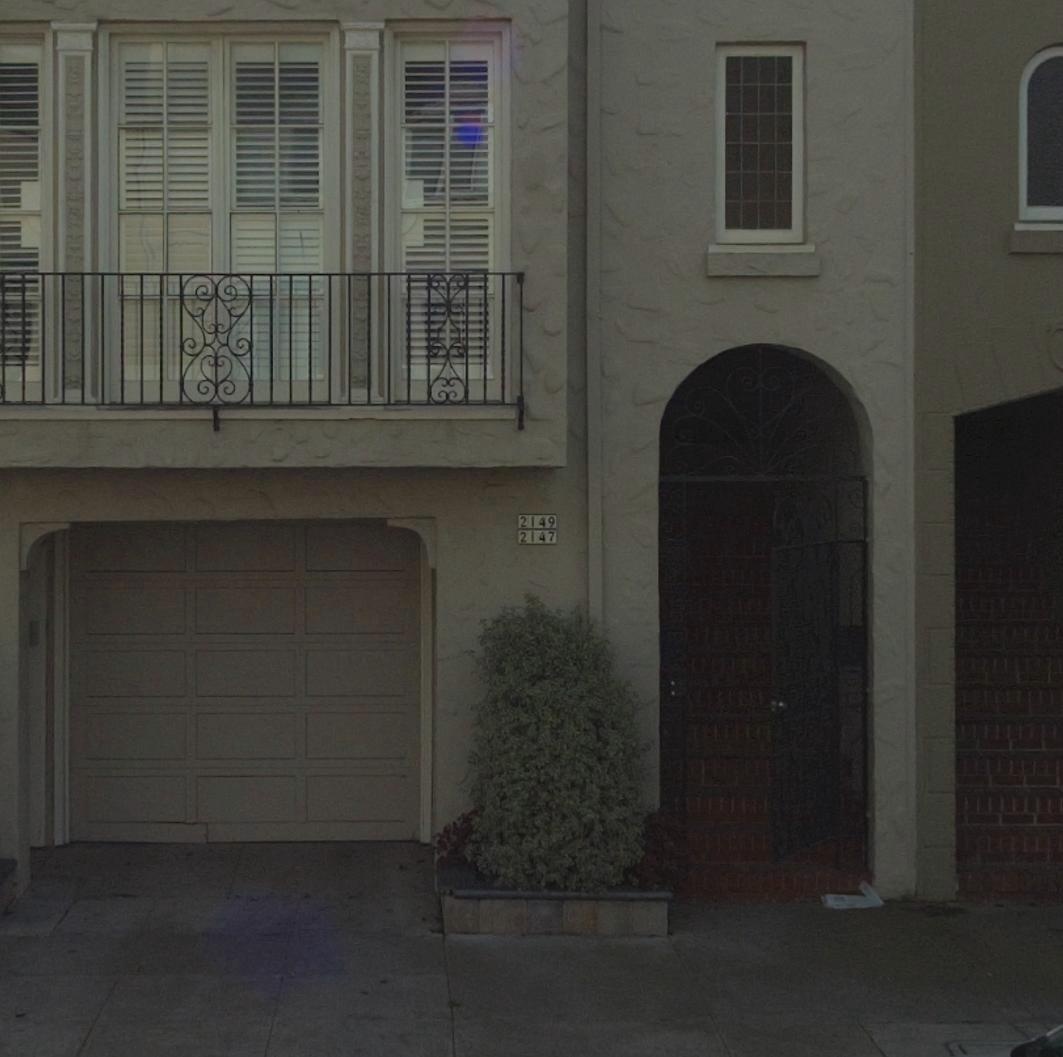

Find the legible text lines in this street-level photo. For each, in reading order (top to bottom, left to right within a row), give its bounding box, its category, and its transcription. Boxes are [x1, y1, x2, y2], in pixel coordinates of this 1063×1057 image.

[518, 514, 557, 529] StreetNumber: 2149
[518, 529, 556, 545] StreetNumber: 2147